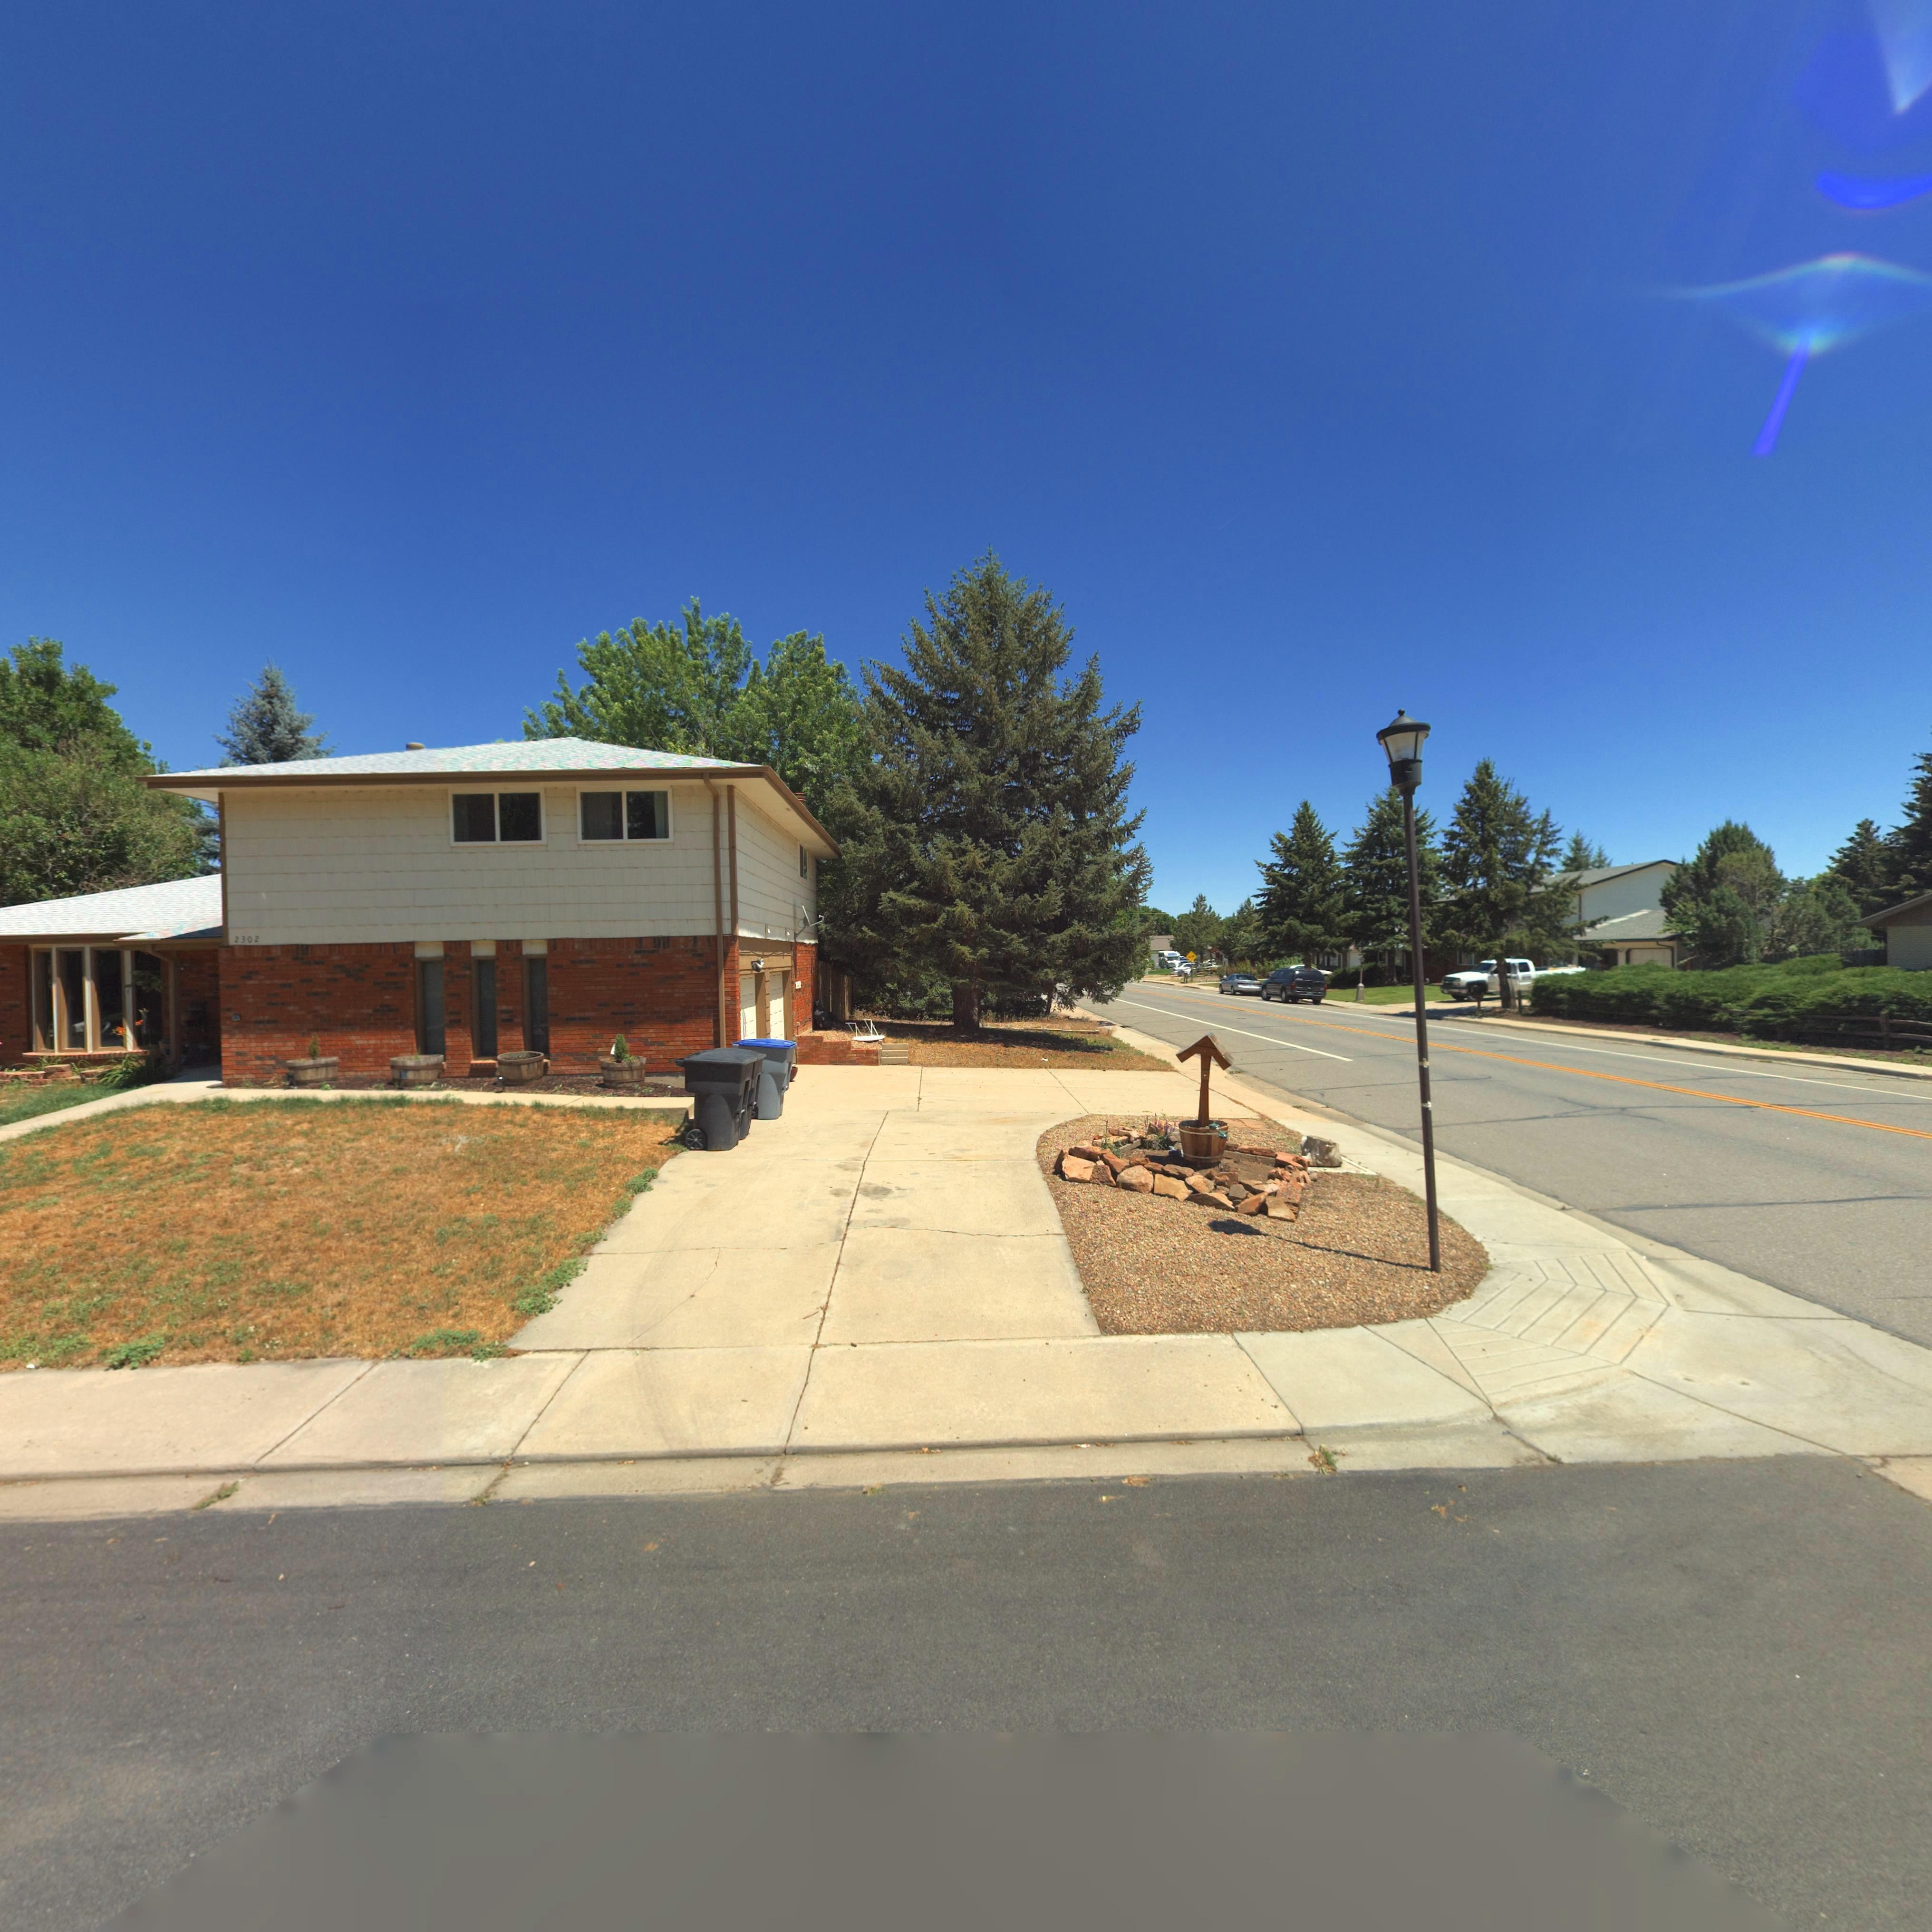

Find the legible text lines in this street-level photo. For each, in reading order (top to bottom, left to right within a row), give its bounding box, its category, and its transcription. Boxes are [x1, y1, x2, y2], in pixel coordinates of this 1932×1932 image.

[234, 934, 259, 944] StreetNumber: 2302